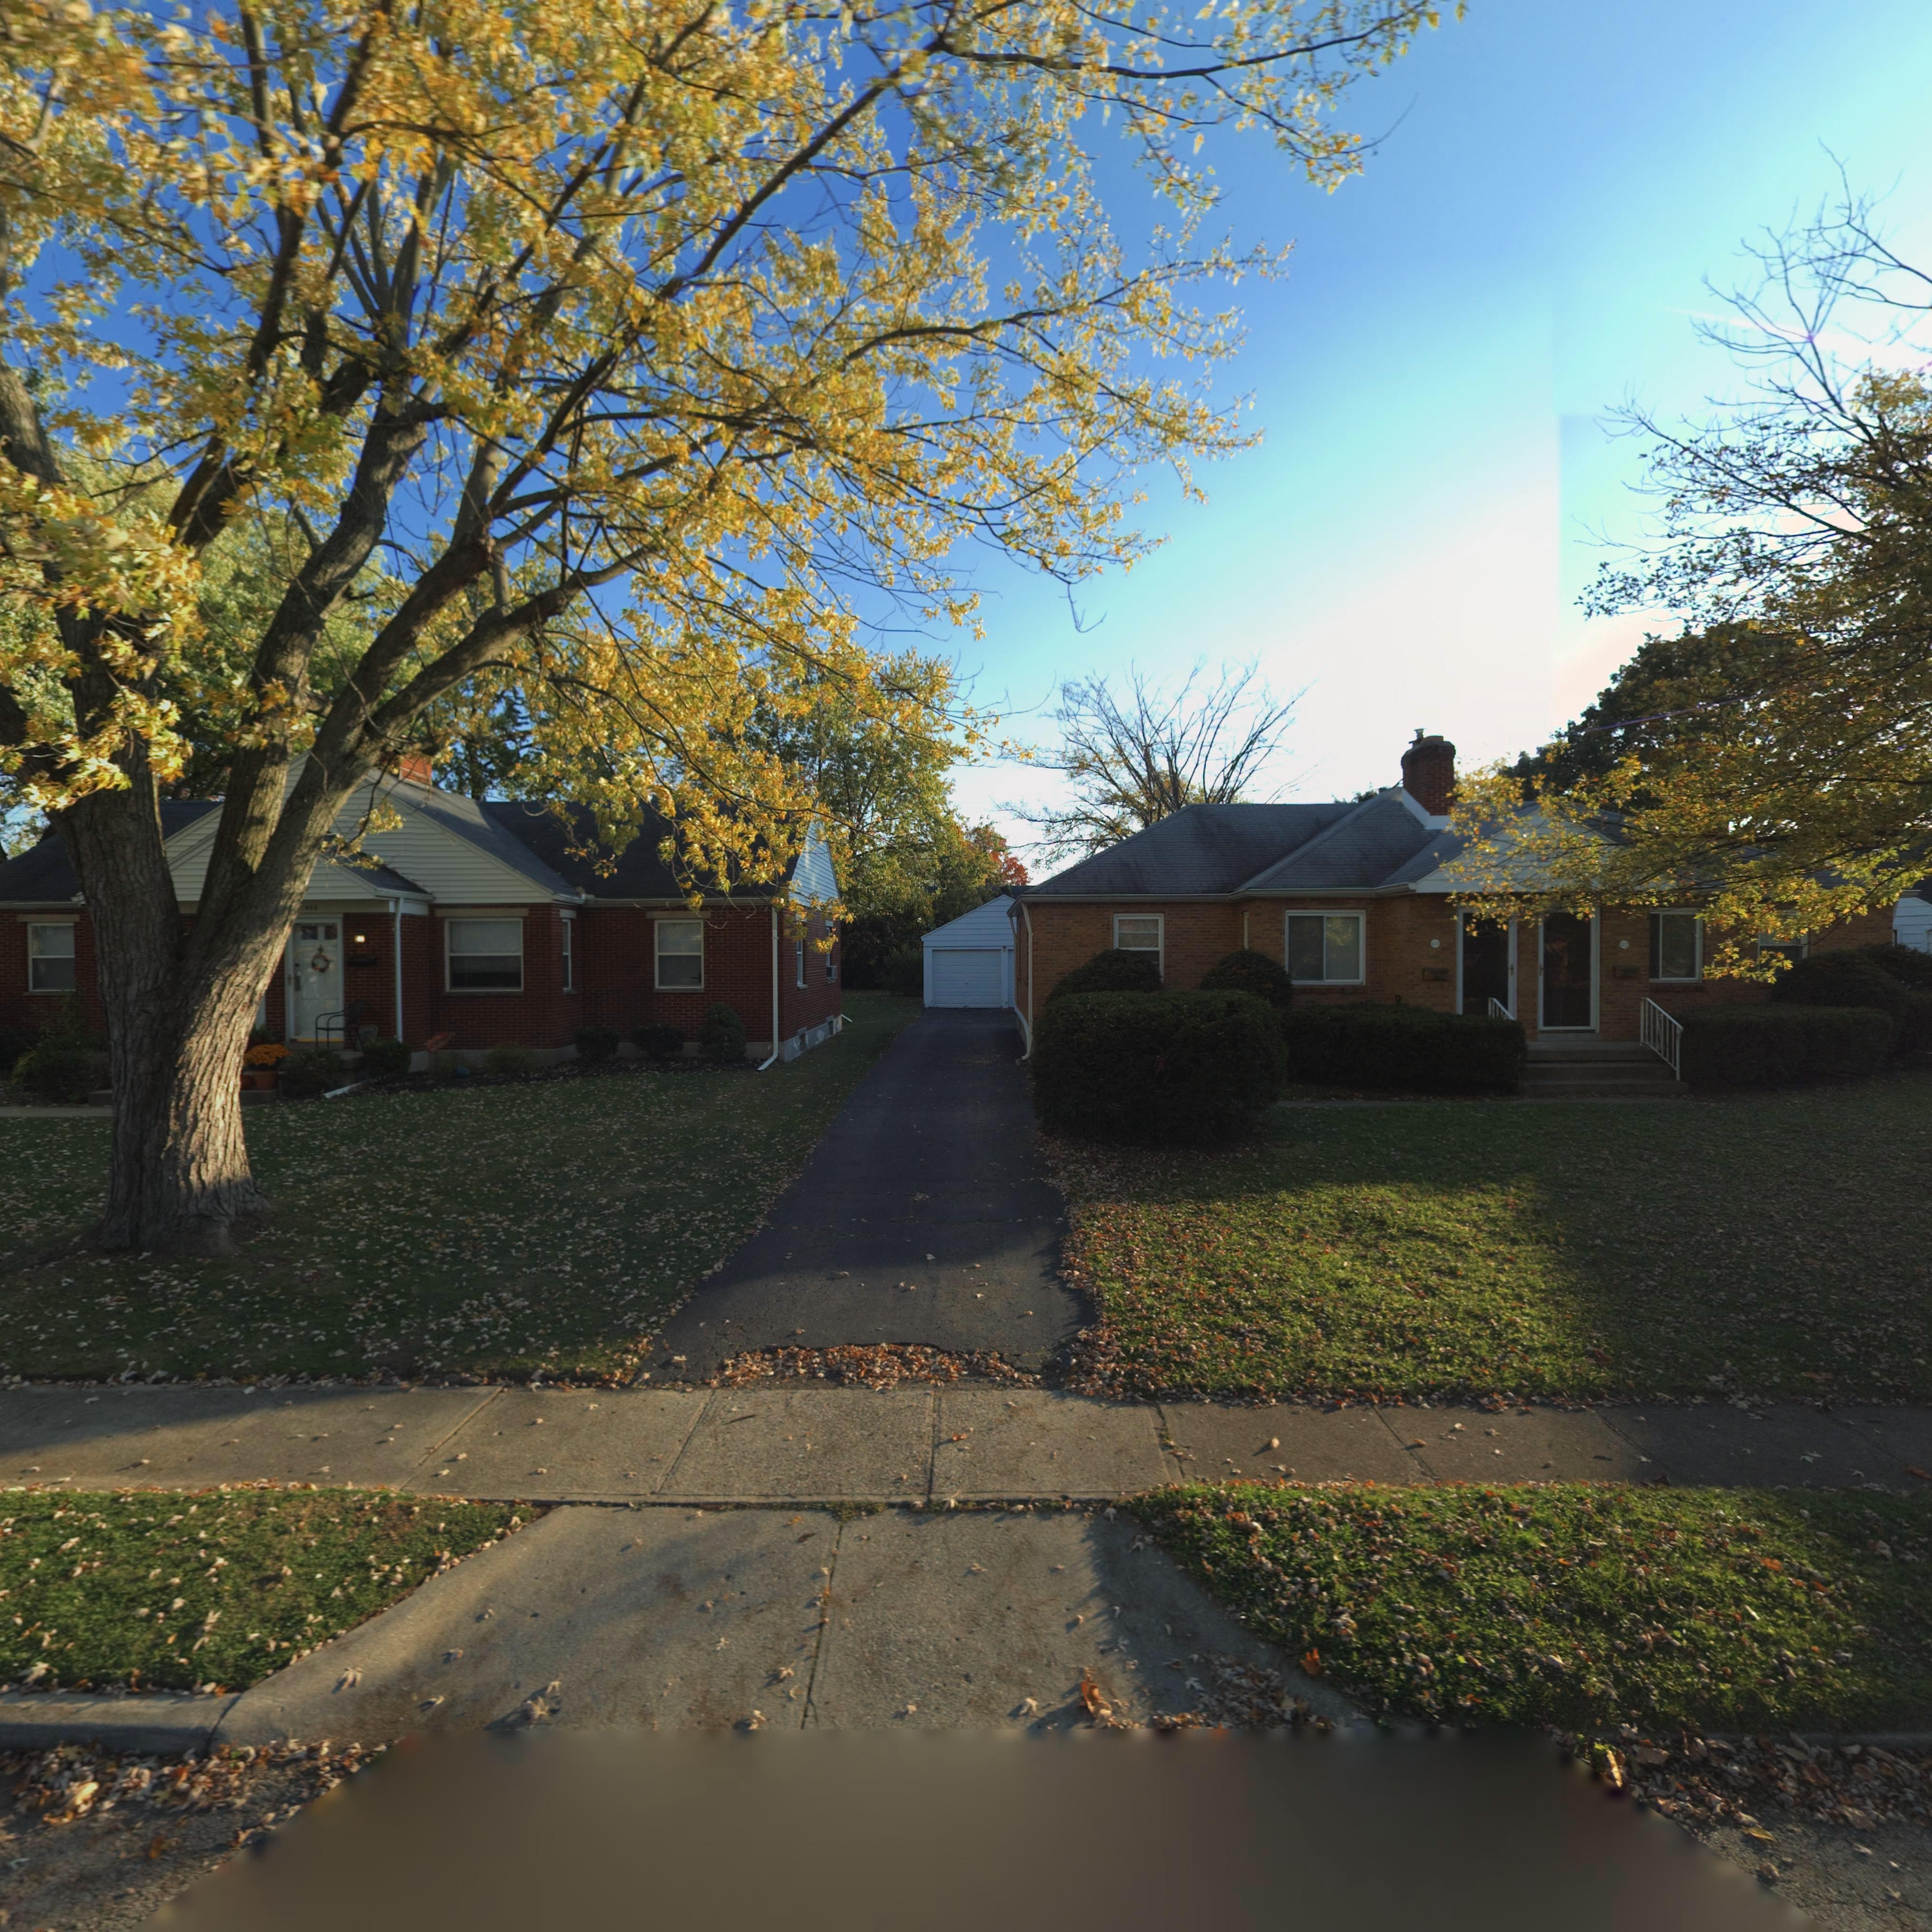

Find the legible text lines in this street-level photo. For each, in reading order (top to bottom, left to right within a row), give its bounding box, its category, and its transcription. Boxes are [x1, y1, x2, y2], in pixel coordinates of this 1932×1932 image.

[304, 904, 319, 911] StreetNumber: *06